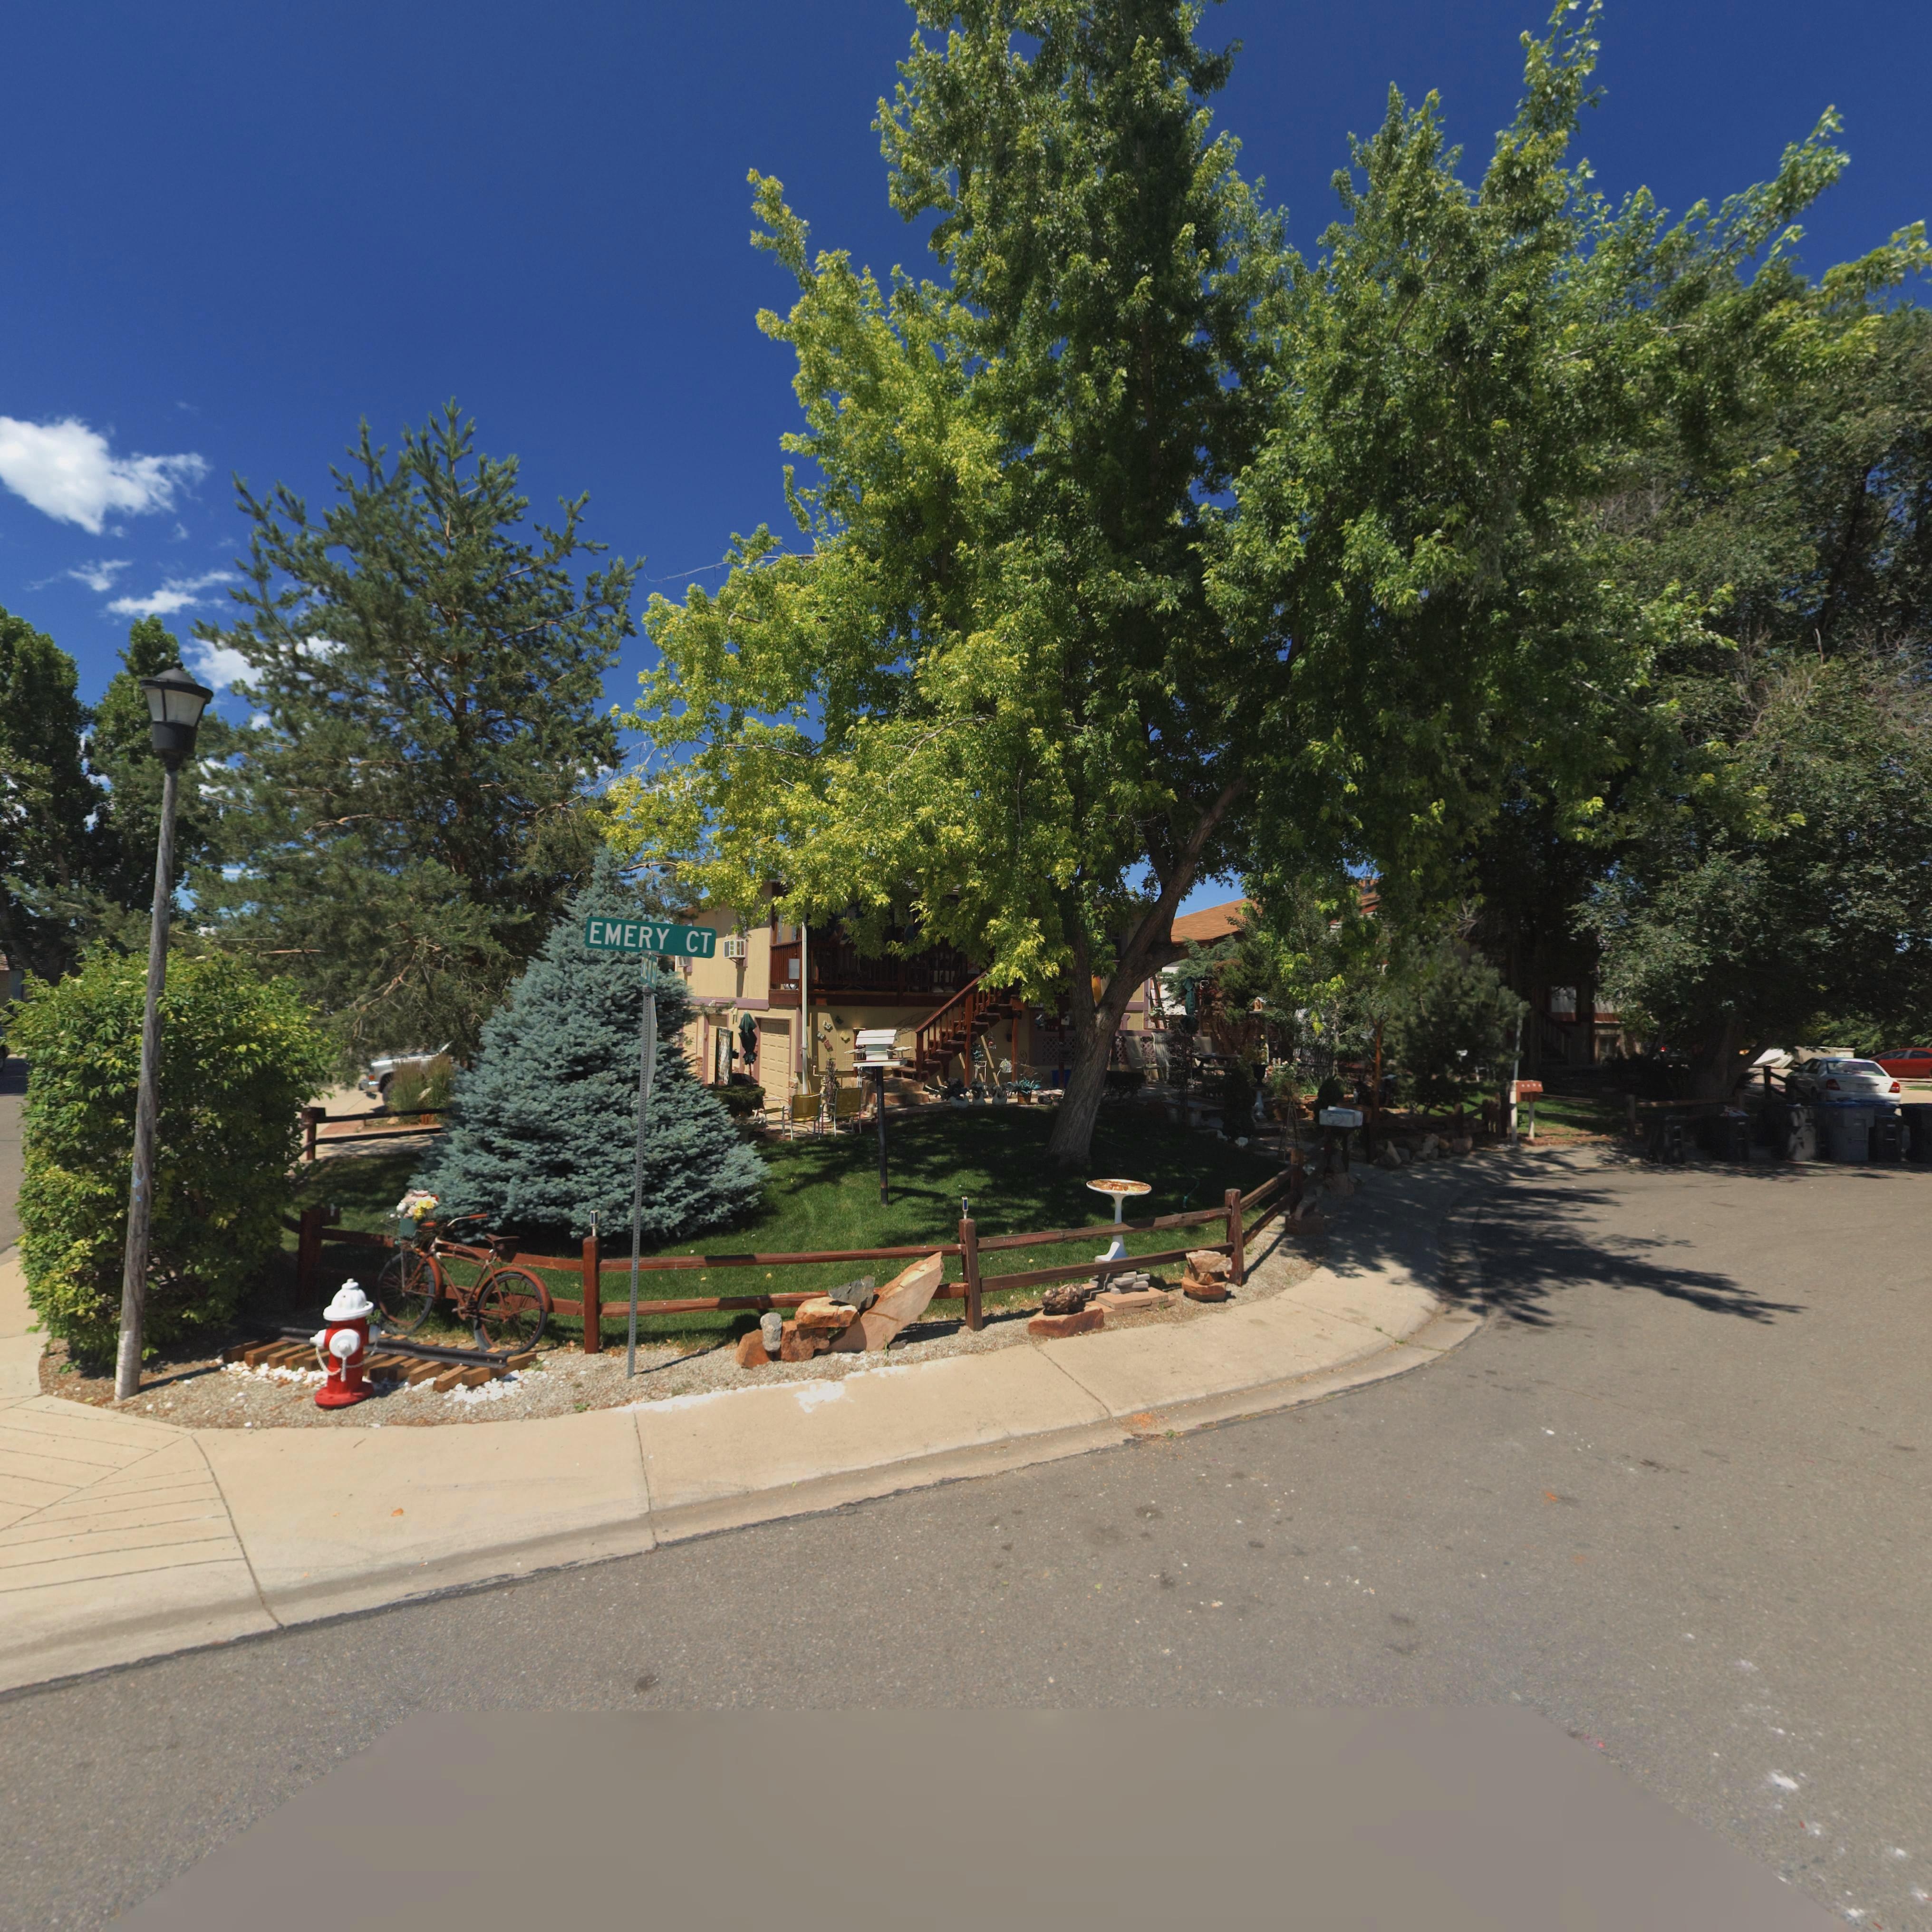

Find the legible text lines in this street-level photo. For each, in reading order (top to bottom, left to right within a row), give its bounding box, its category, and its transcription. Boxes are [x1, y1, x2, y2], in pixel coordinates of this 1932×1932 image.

[589, 920, 712, 953] StreetName: EMERY CT
[640, 955, 657, 985] StreetName: EMERY ST